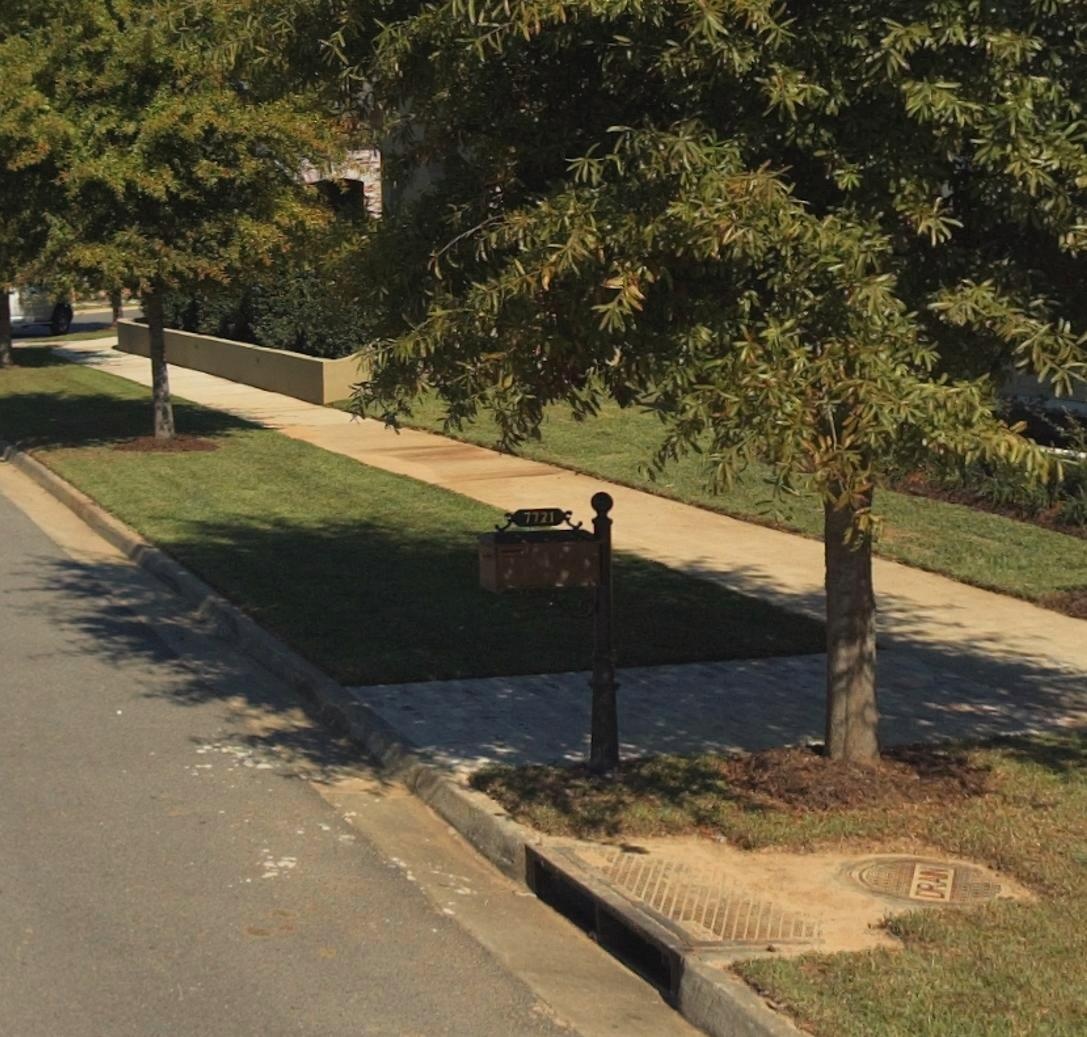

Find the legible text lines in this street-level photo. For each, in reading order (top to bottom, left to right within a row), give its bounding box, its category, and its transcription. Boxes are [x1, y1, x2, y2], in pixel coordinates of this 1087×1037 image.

[523, 511, 556, 525] StreetNumber: 7721